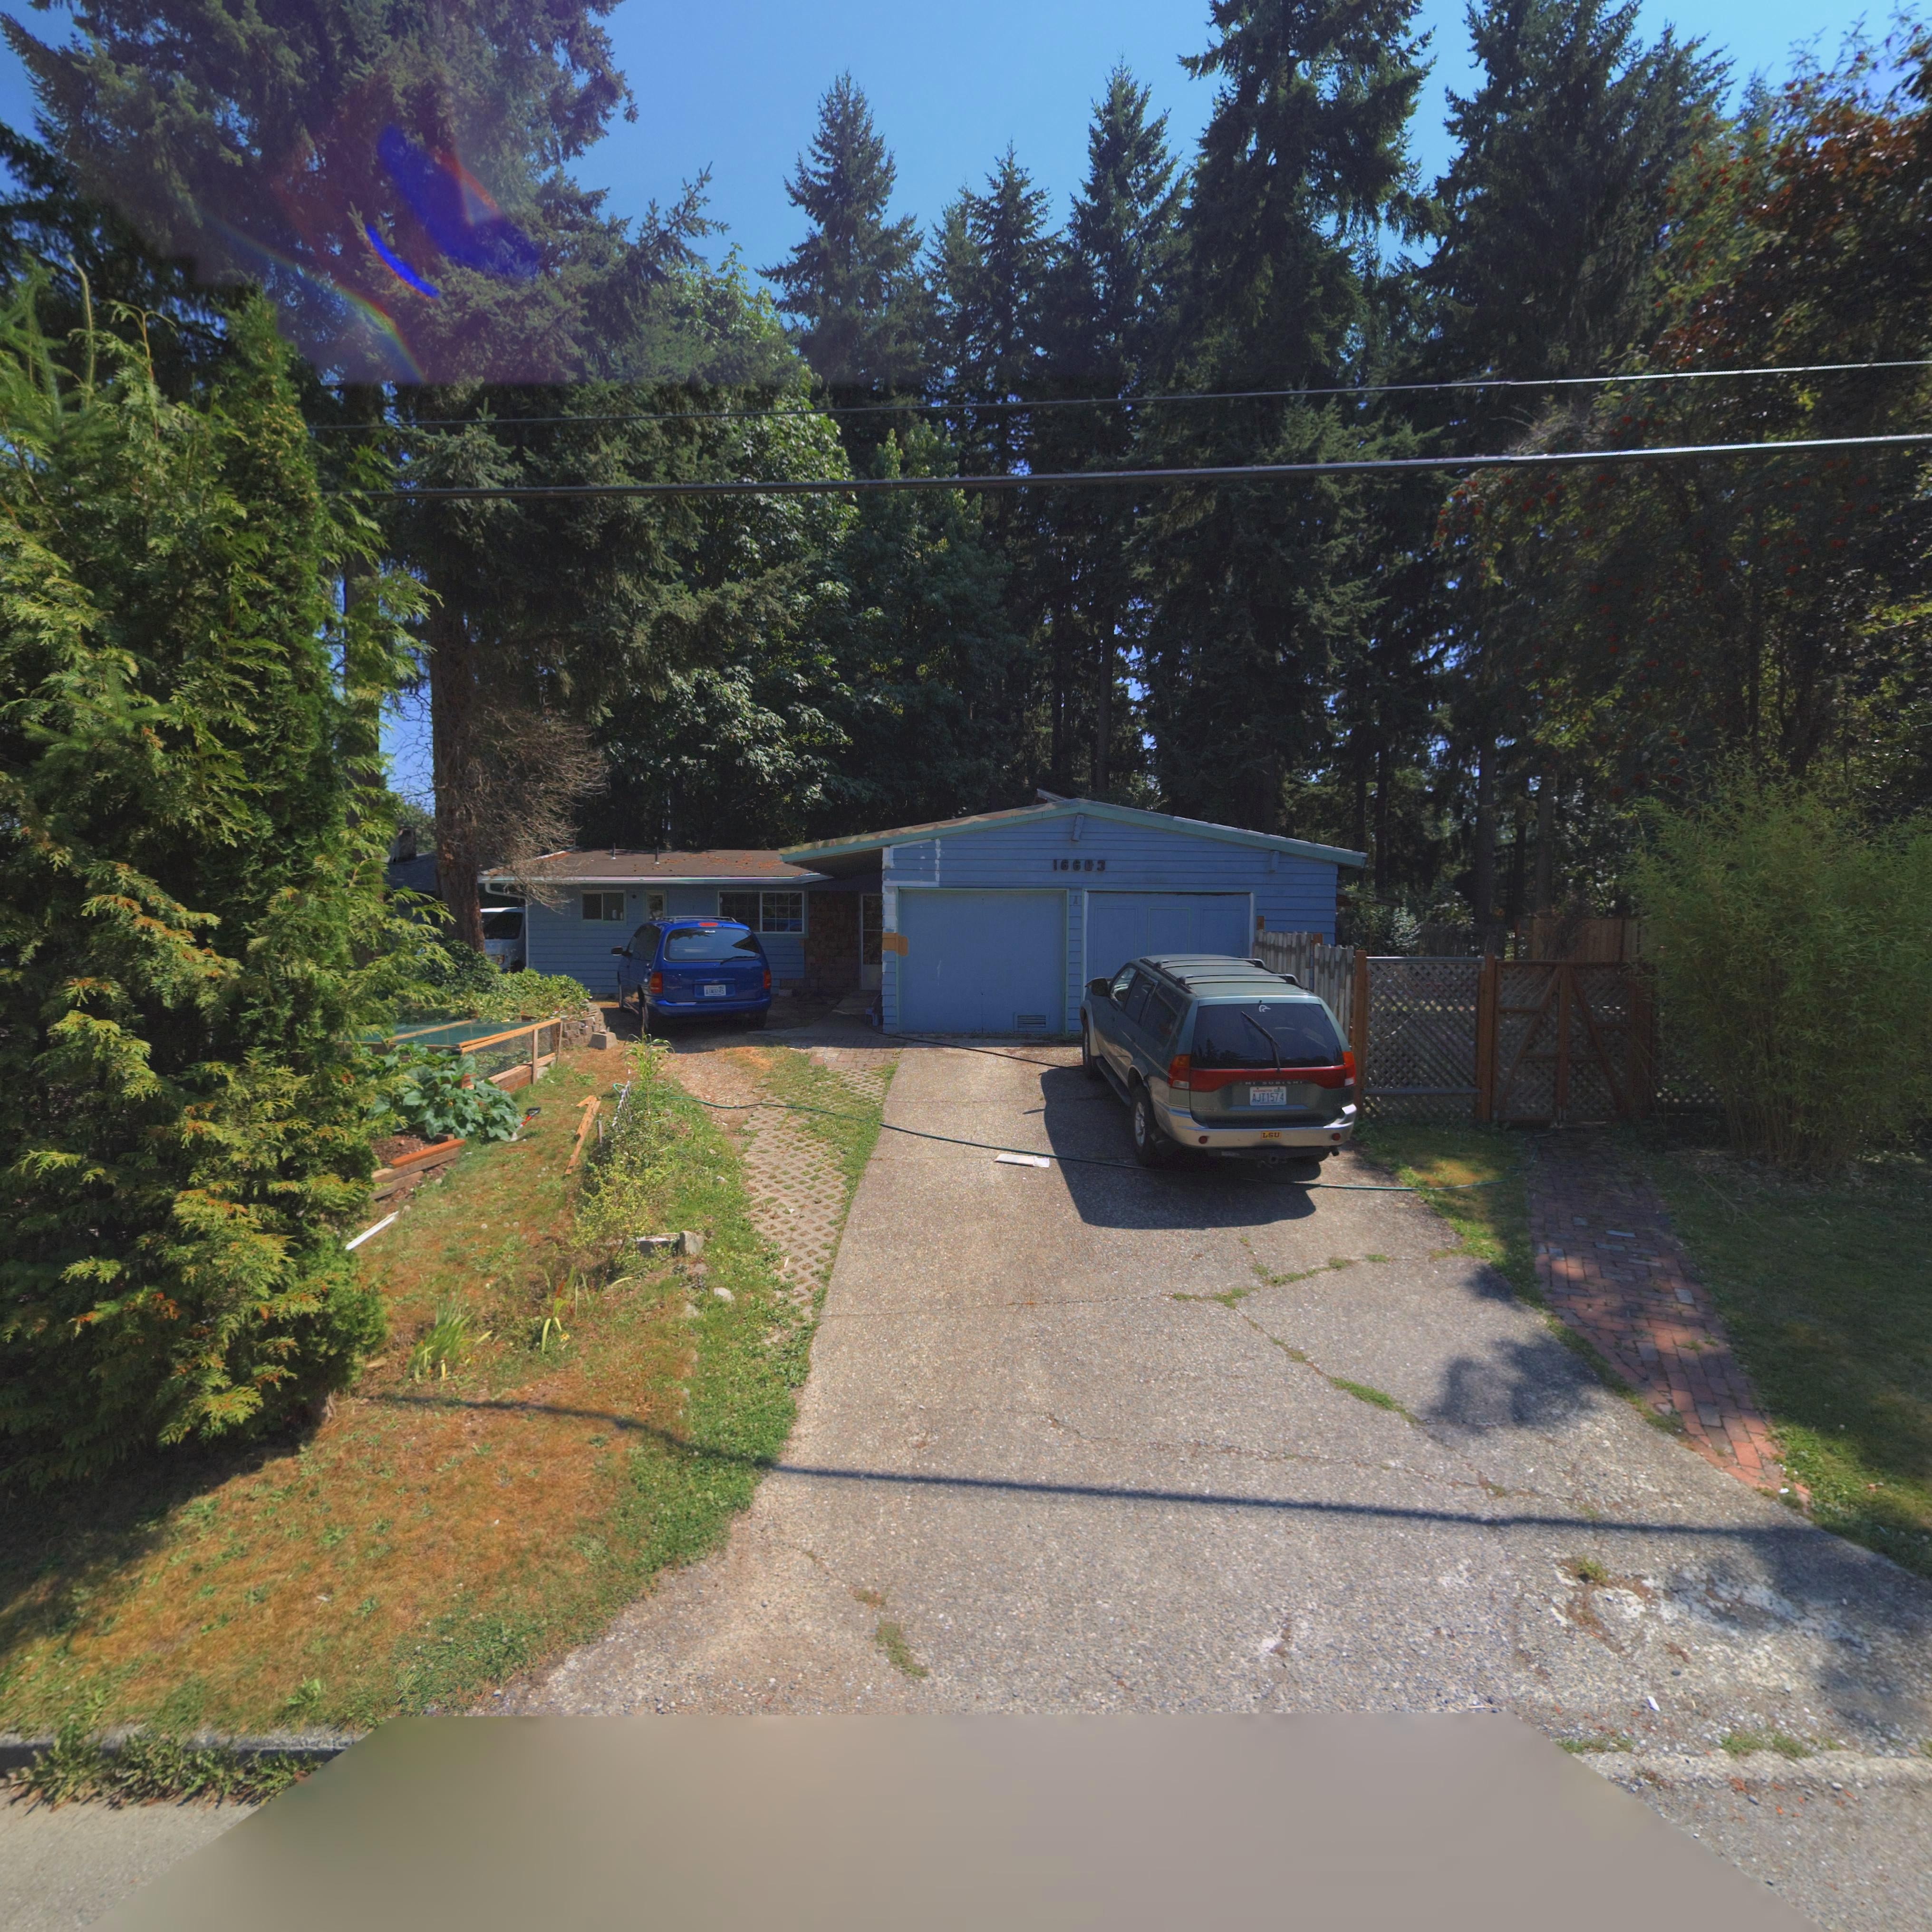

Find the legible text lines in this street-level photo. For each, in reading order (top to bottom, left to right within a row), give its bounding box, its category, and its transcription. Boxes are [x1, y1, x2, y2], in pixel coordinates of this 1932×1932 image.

[1052, 858, 1106, 872] StreetNumber: 16603